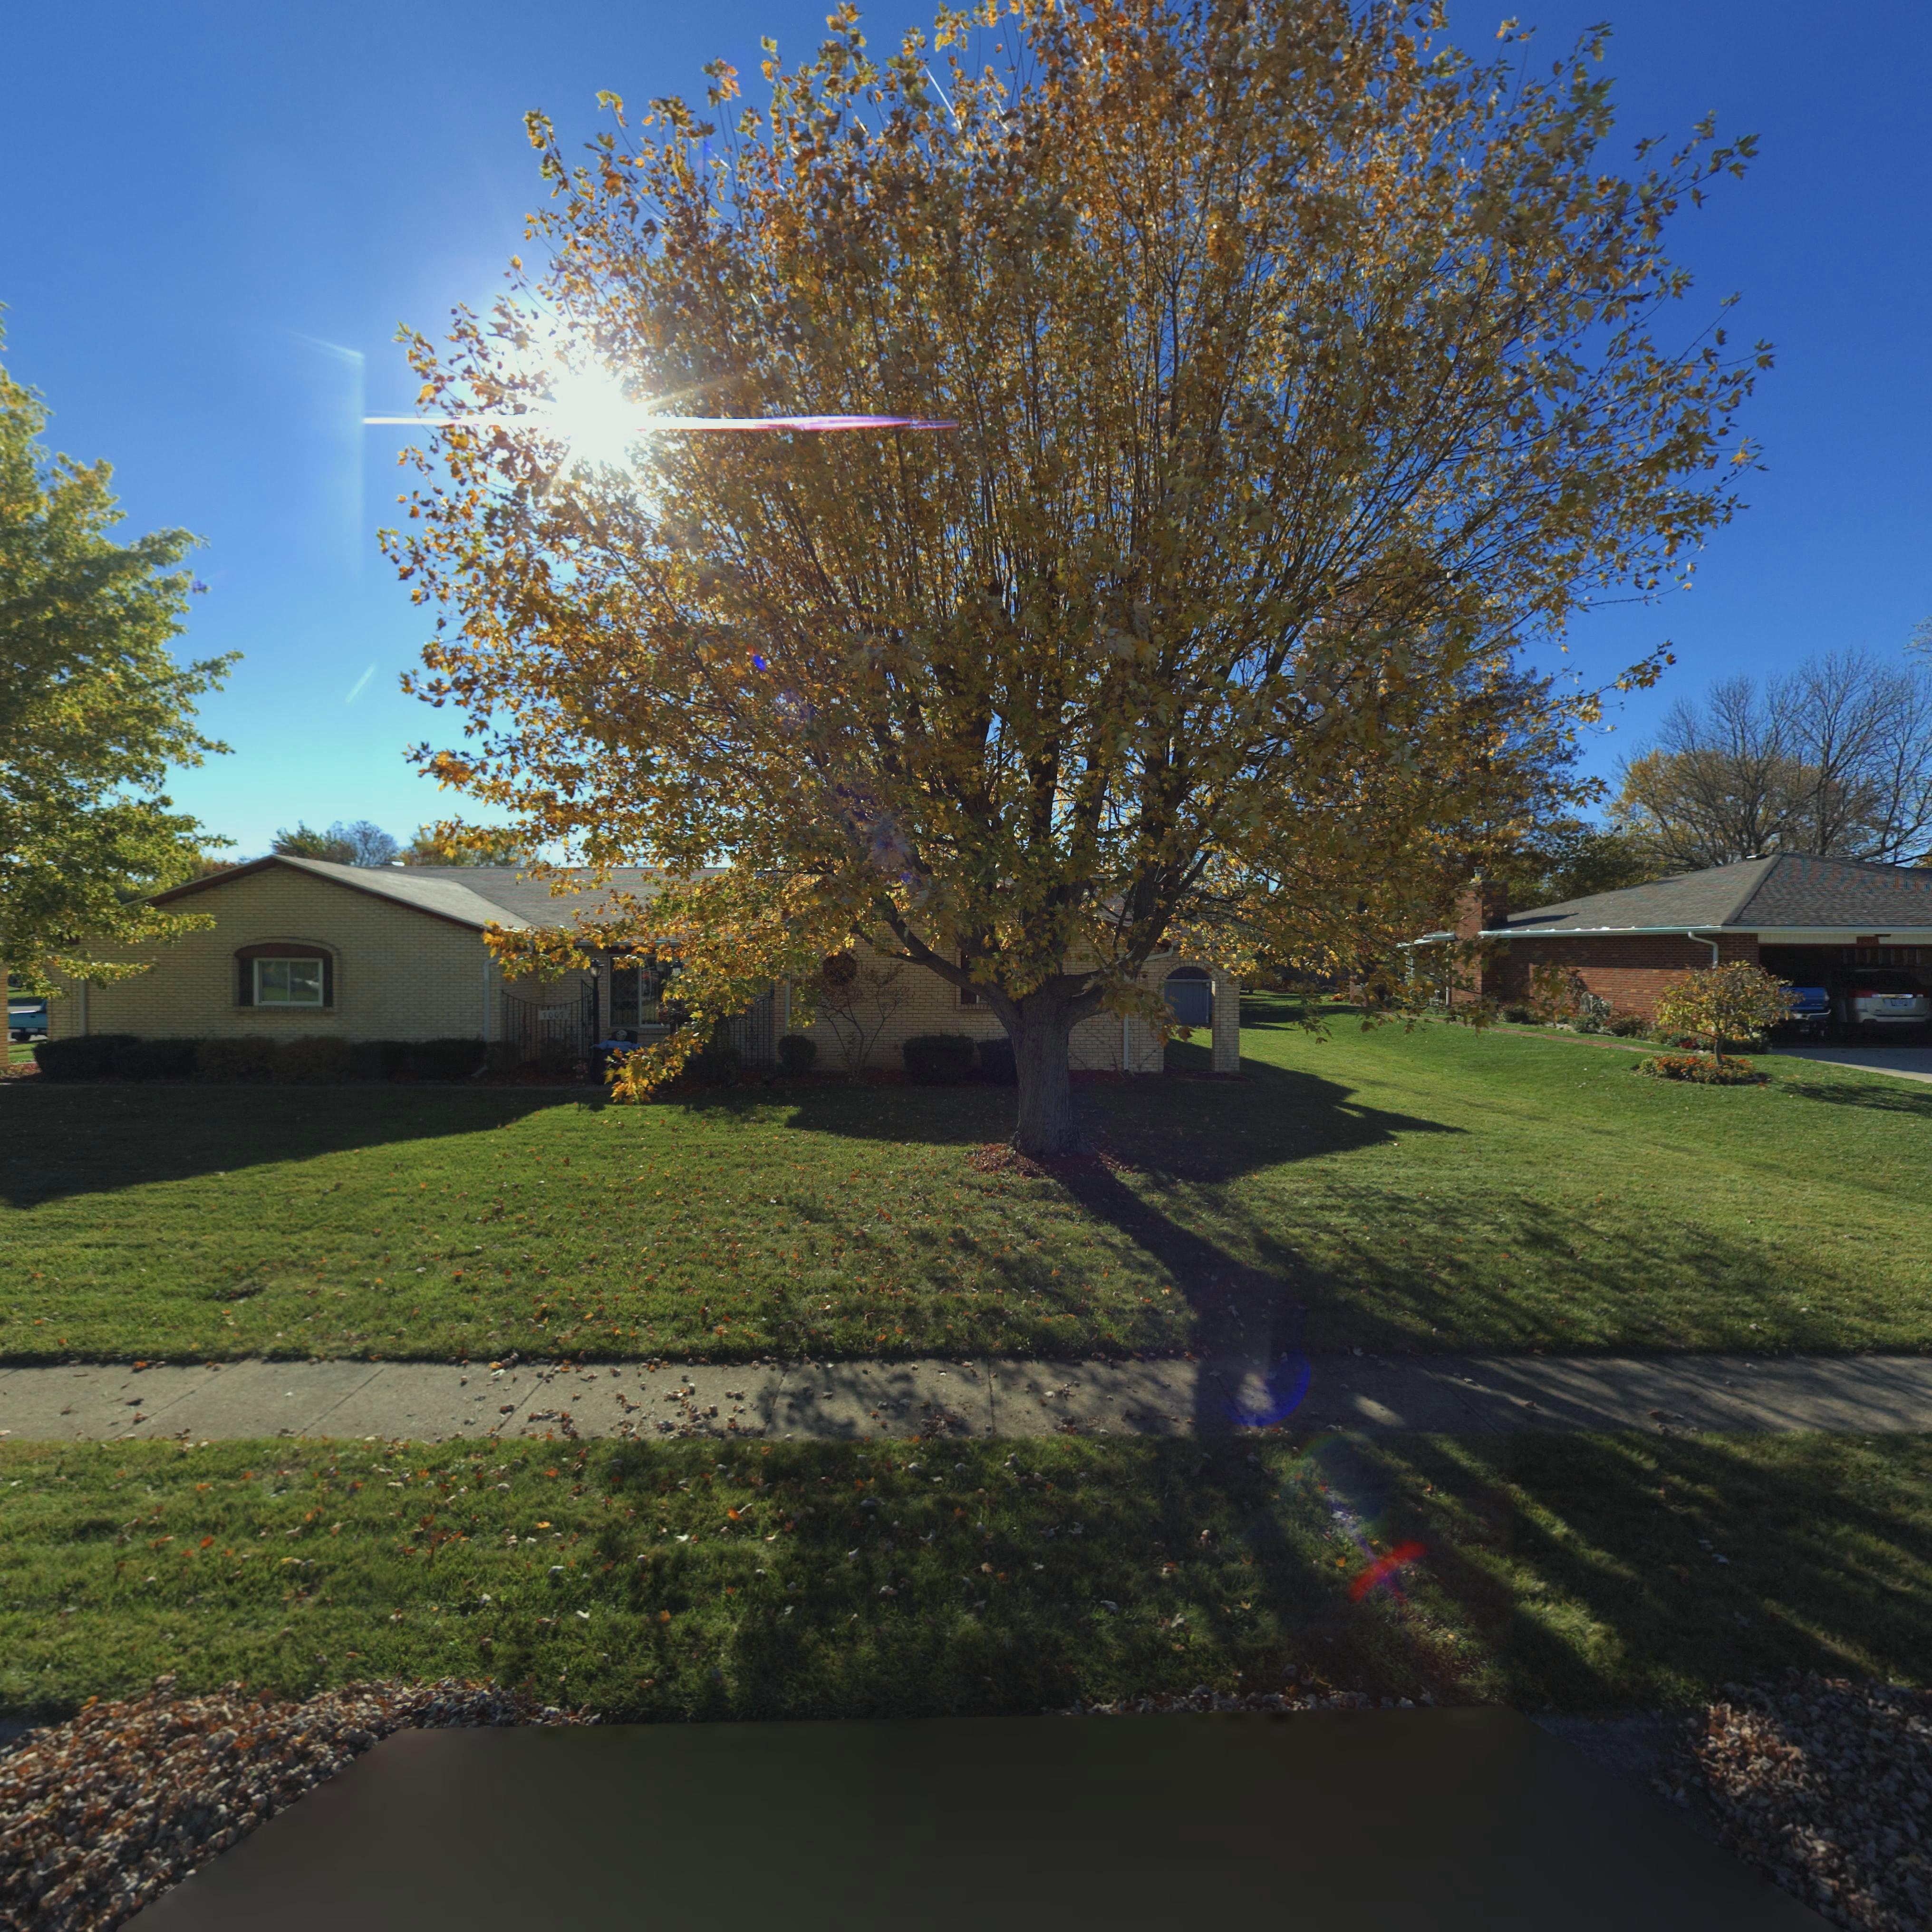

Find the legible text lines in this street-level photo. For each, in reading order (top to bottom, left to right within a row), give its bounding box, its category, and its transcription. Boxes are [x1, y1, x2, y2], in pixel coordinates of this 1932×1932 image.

[1857, 936, 1878, 945] StreetNumber: 700*
[541, 1011, 564, 1019] StreetNumber: 7007